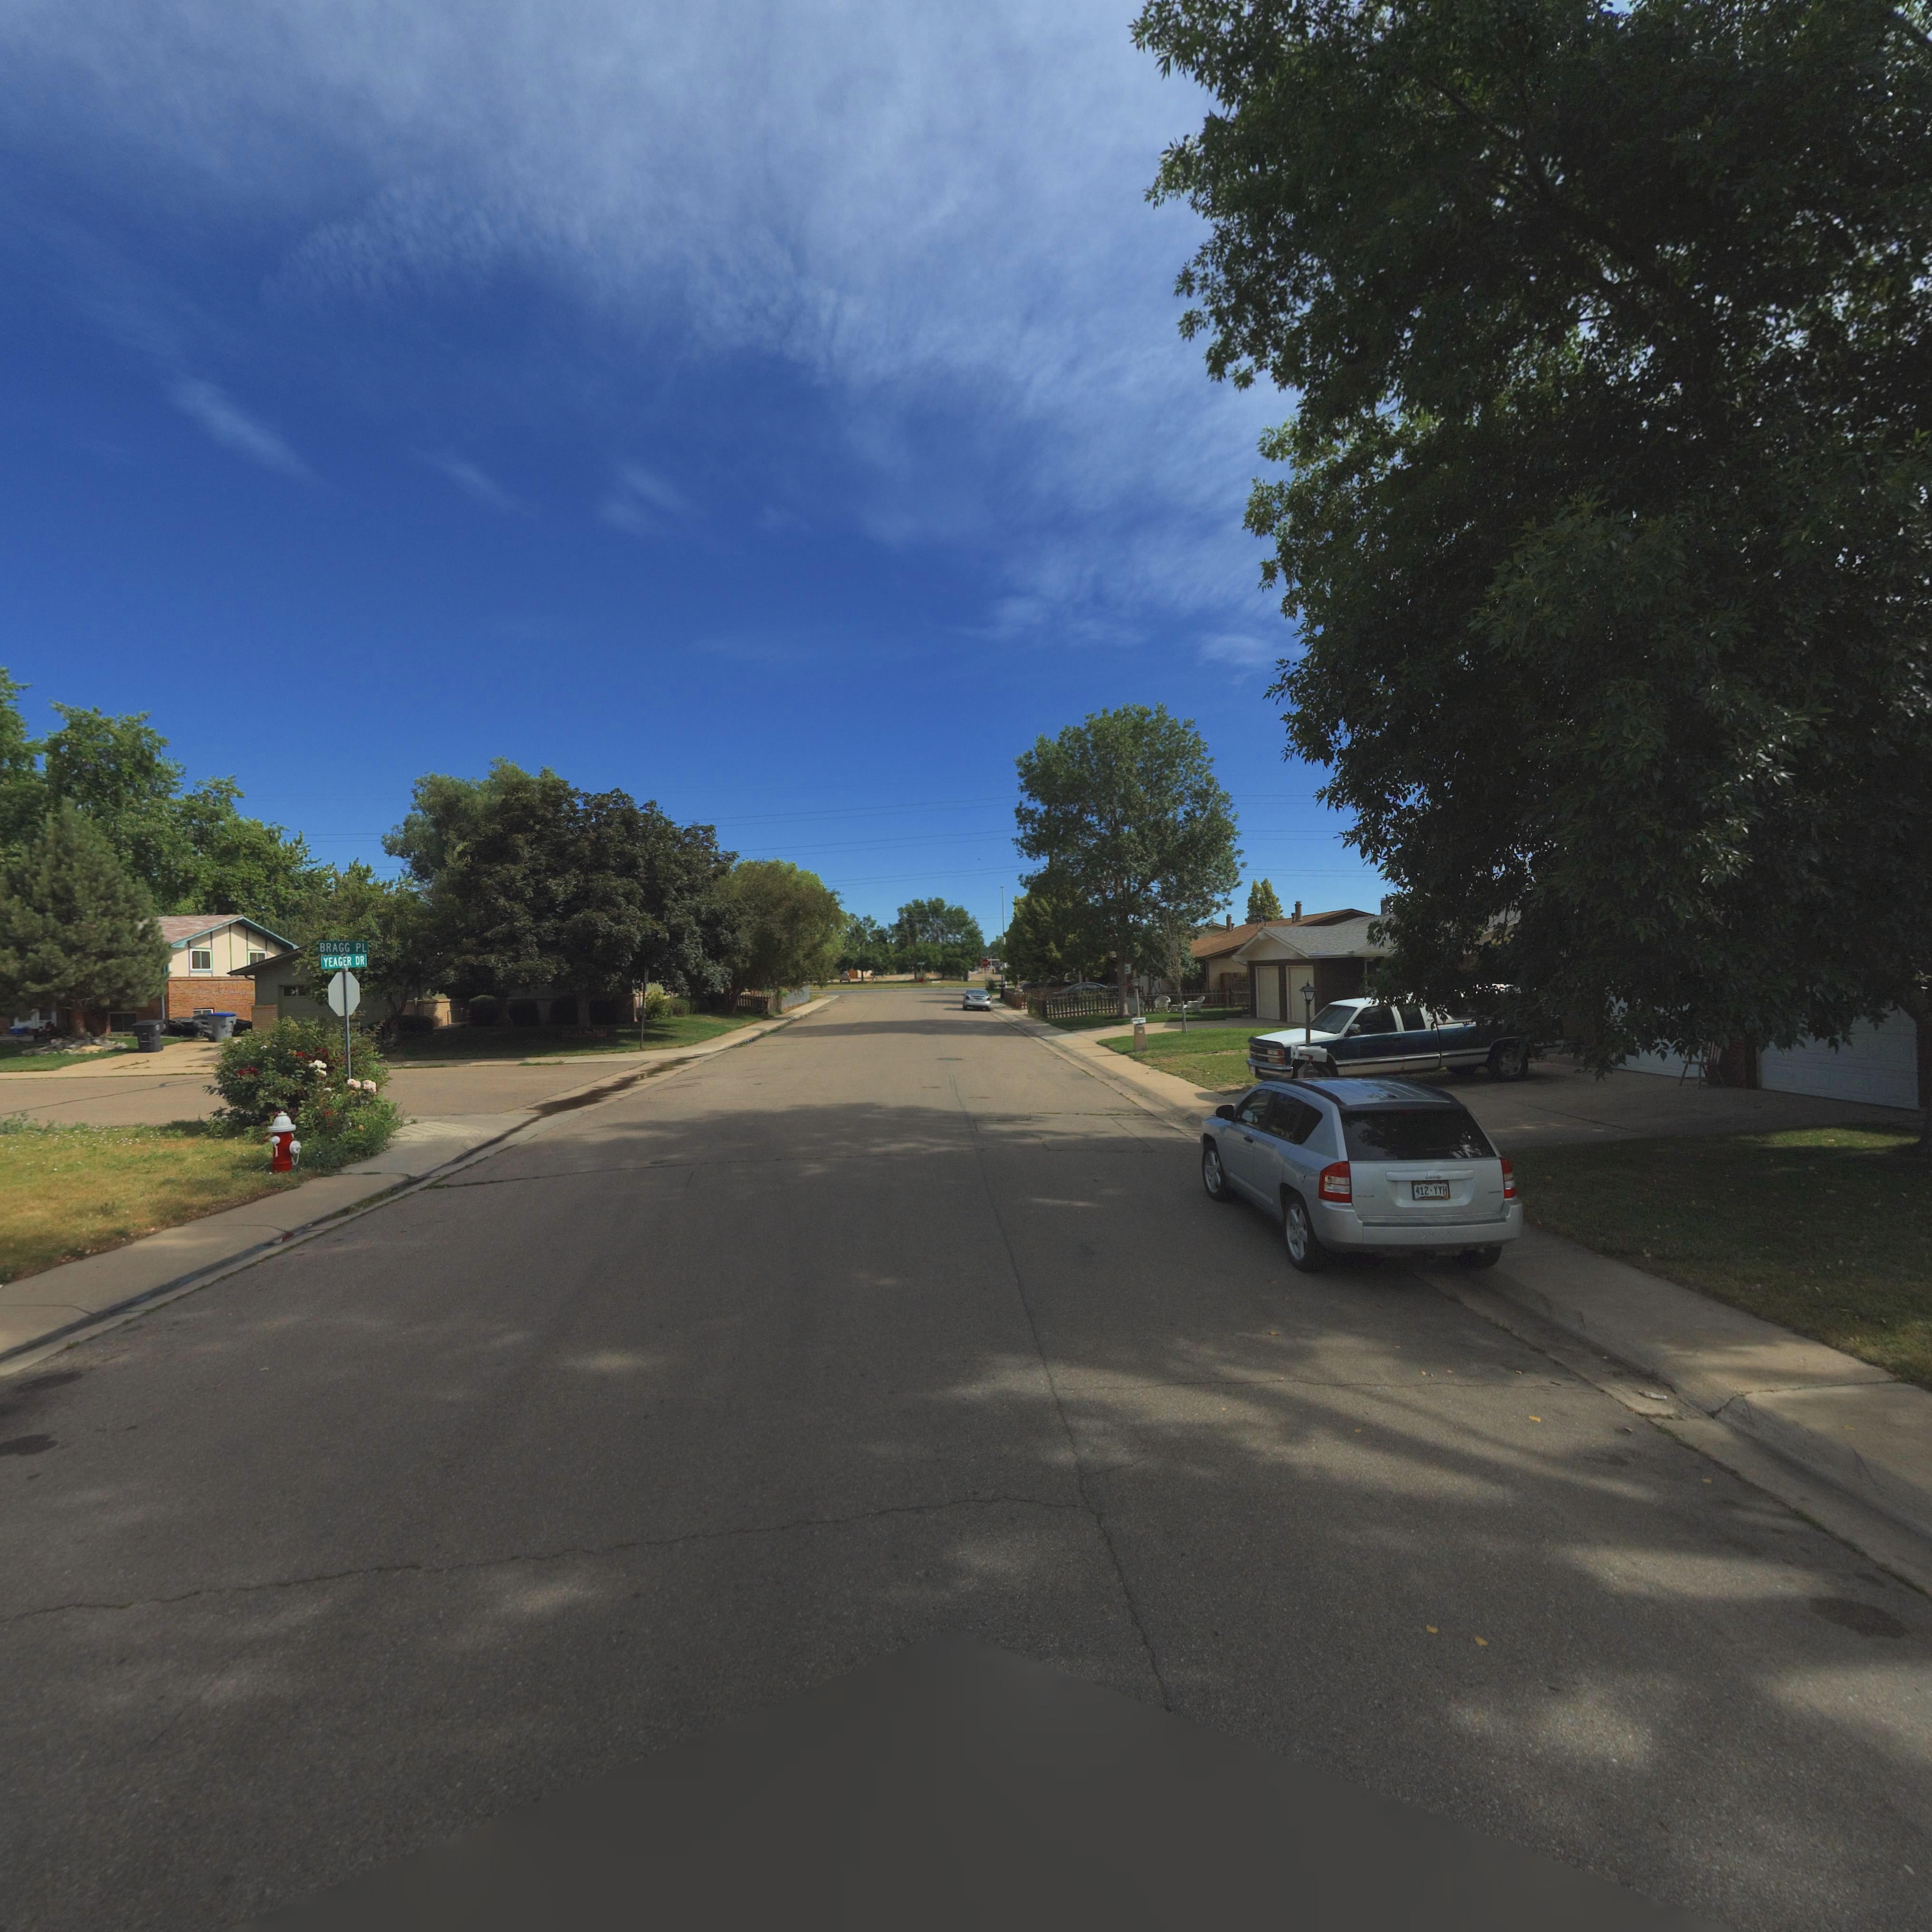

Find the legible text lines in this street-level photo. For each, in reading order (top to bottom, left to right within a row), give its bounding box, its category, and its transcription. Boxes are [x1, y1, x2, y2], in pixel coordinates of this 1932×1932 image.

[319, 942, 367, 952] StreetName: BRAGG PL
[323, 955, 365, 967] StreetName: YEAGER DR